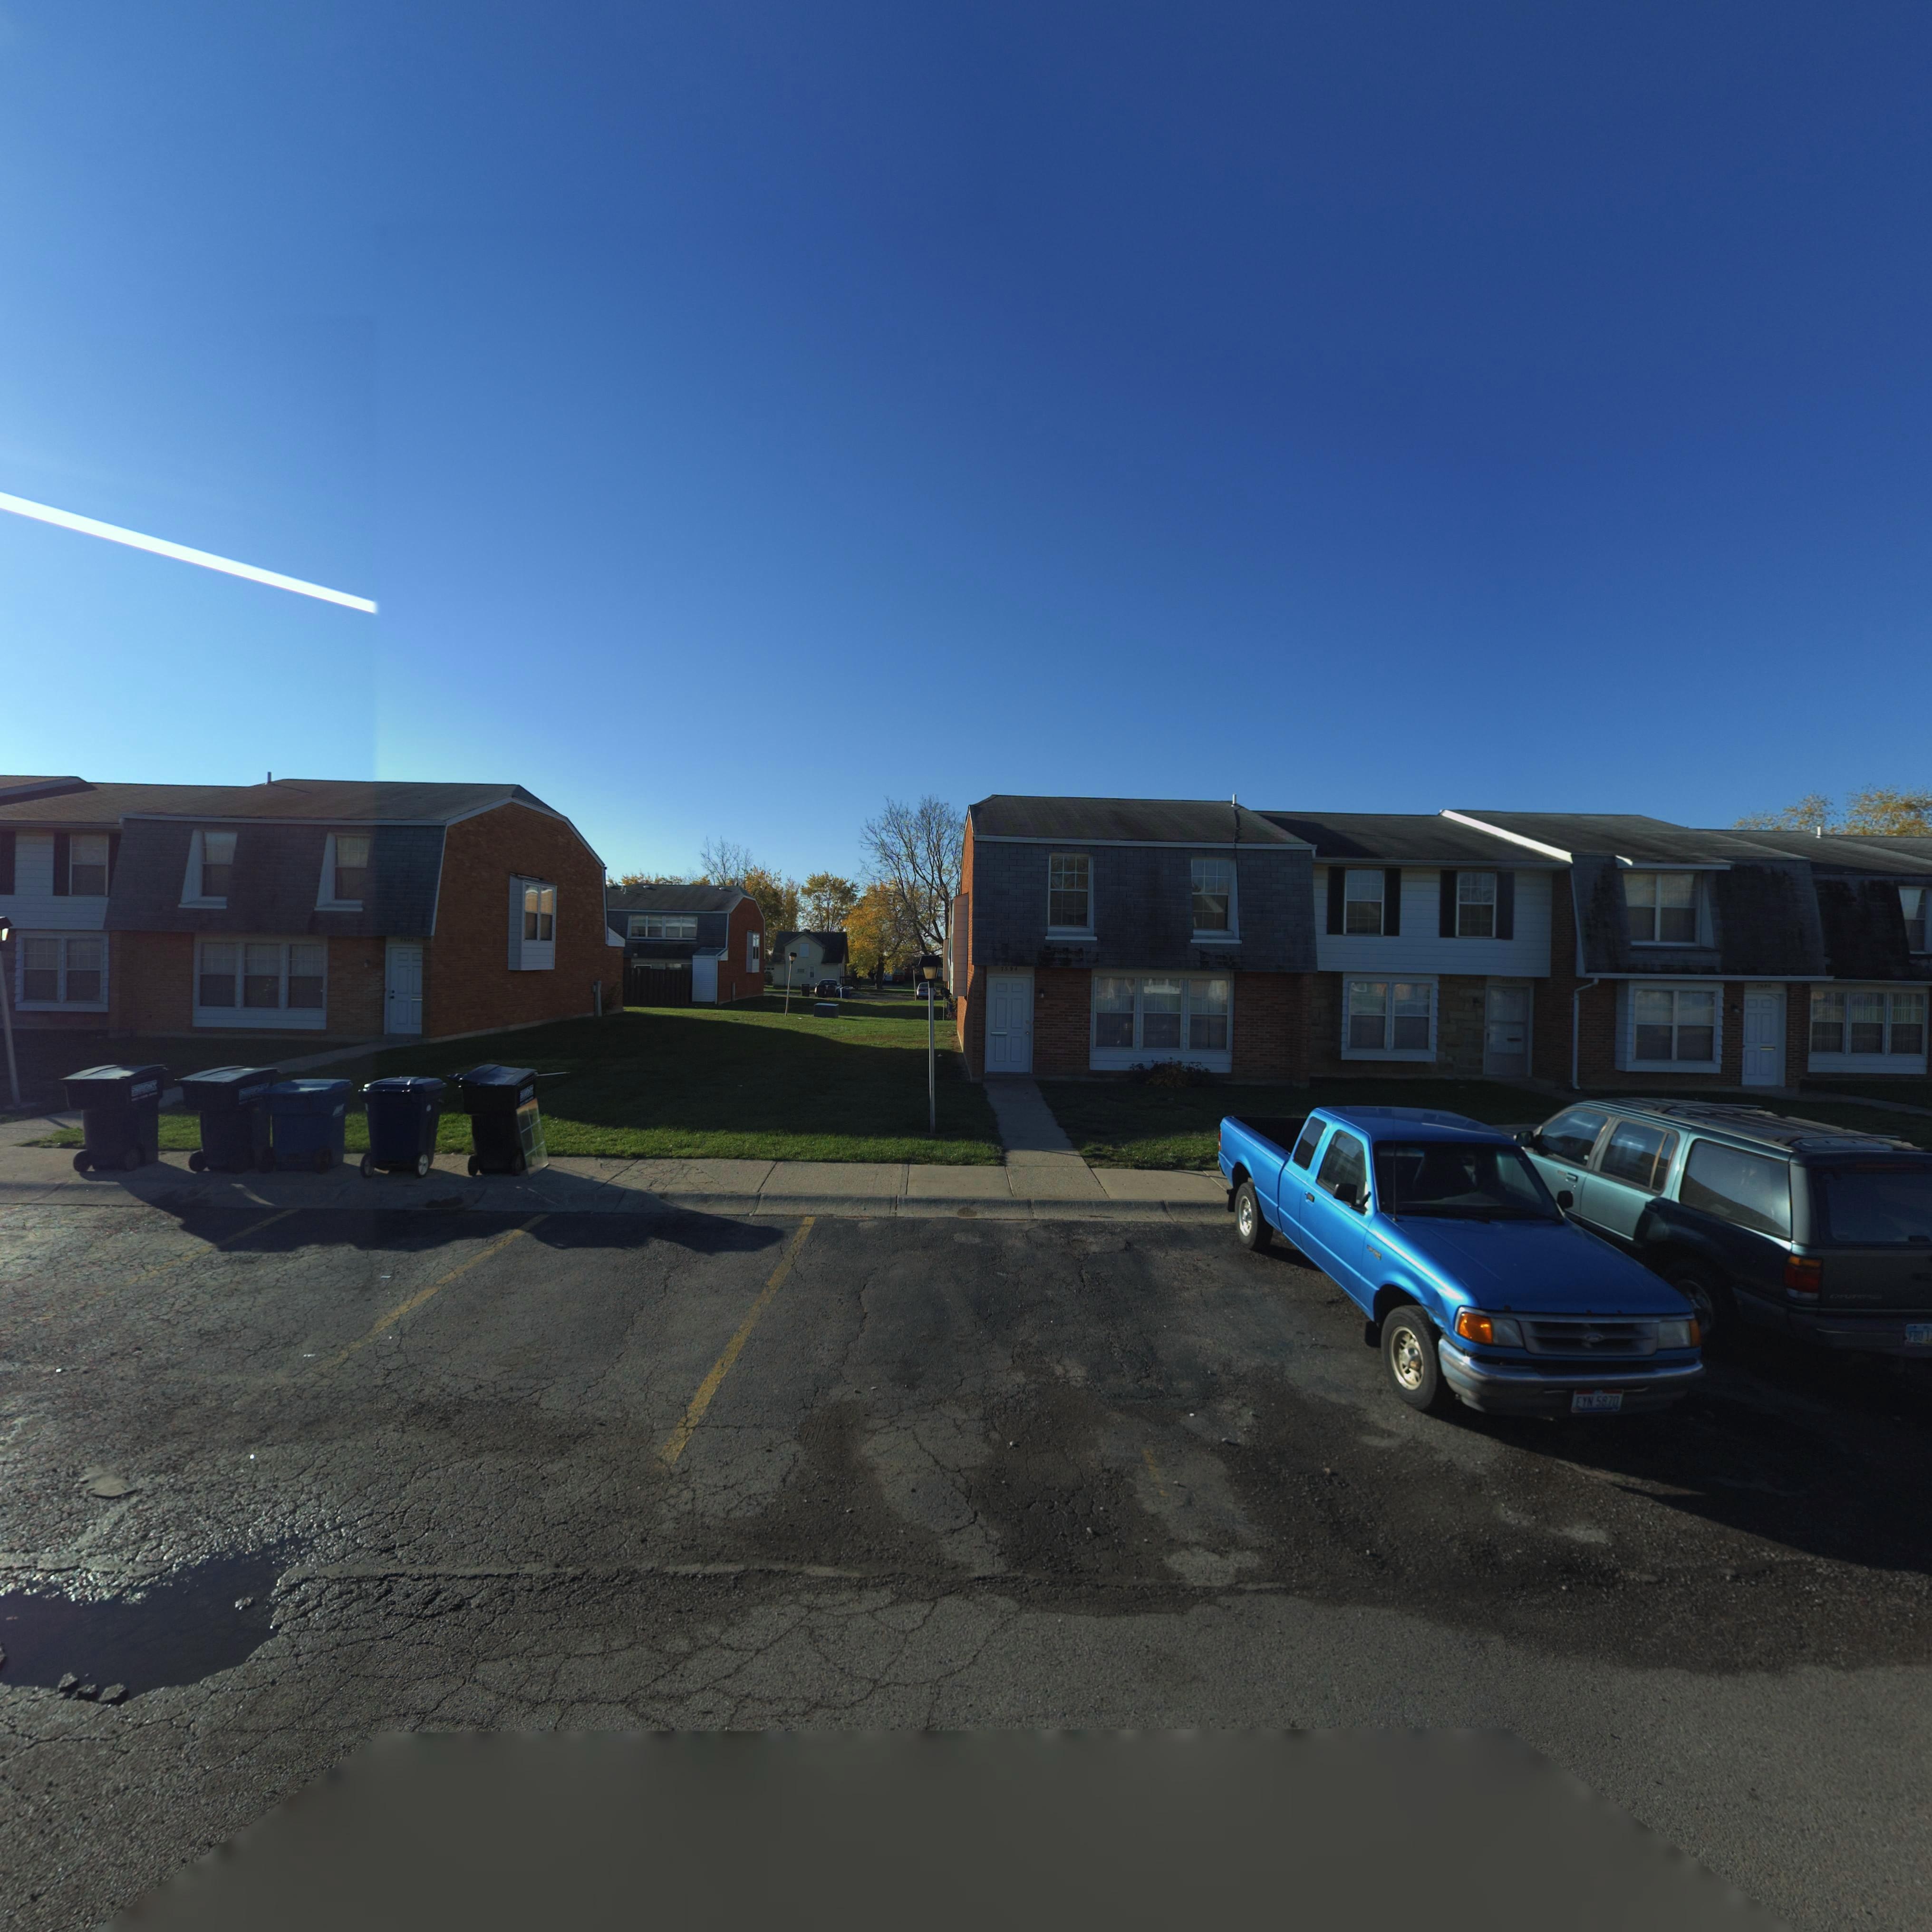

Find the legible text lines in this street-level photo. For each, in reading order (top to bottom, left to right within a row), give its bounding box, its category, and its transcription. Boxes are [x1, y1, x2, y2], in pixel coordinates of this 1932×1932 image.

[399, 937, 415, 943] StreetNumber: 7598
[1000, 966, 1018, 972] StreetNumber: 7594
[1501, 976, 1517, 985] StreetNumber: 7*9*
[1755, 983, 1772, 989] StreetNumber: 759*